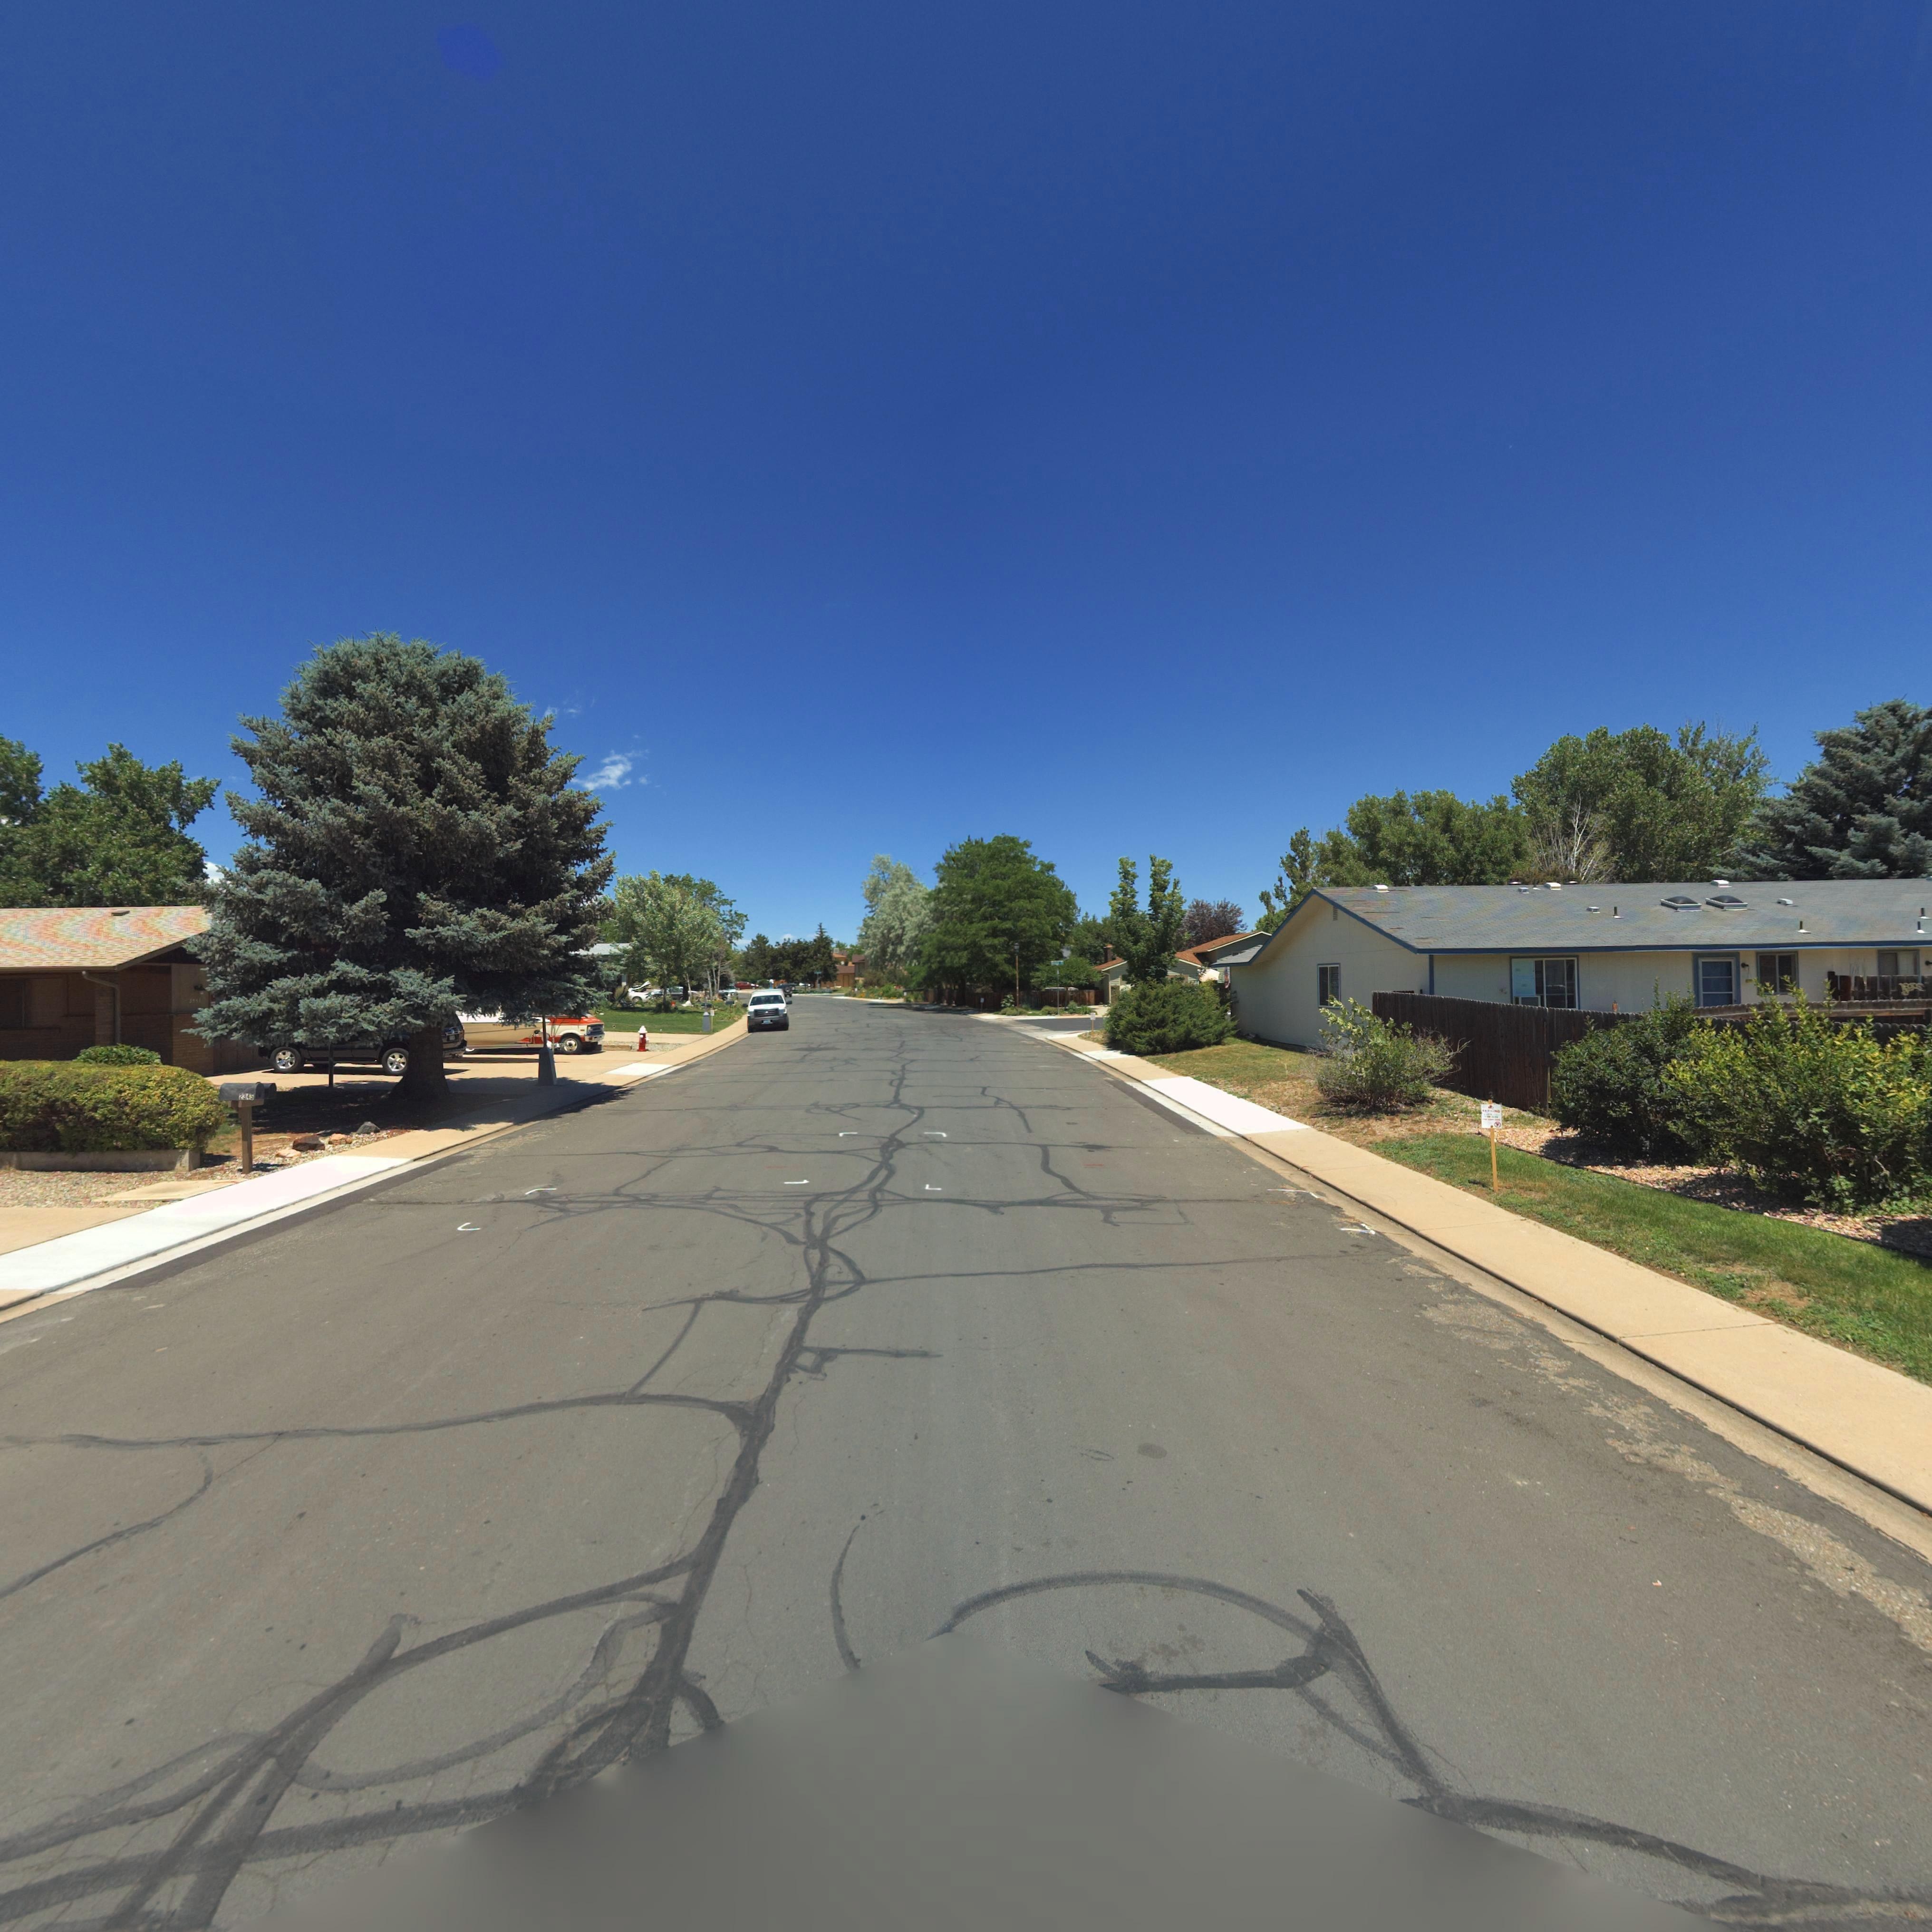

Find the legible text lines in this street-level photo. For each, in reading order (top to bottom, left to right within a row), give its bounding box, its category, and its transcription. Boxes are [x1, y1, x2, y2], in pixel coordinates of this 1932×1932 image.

[239, 1093, 254, 1100] StreetNumber: 2345